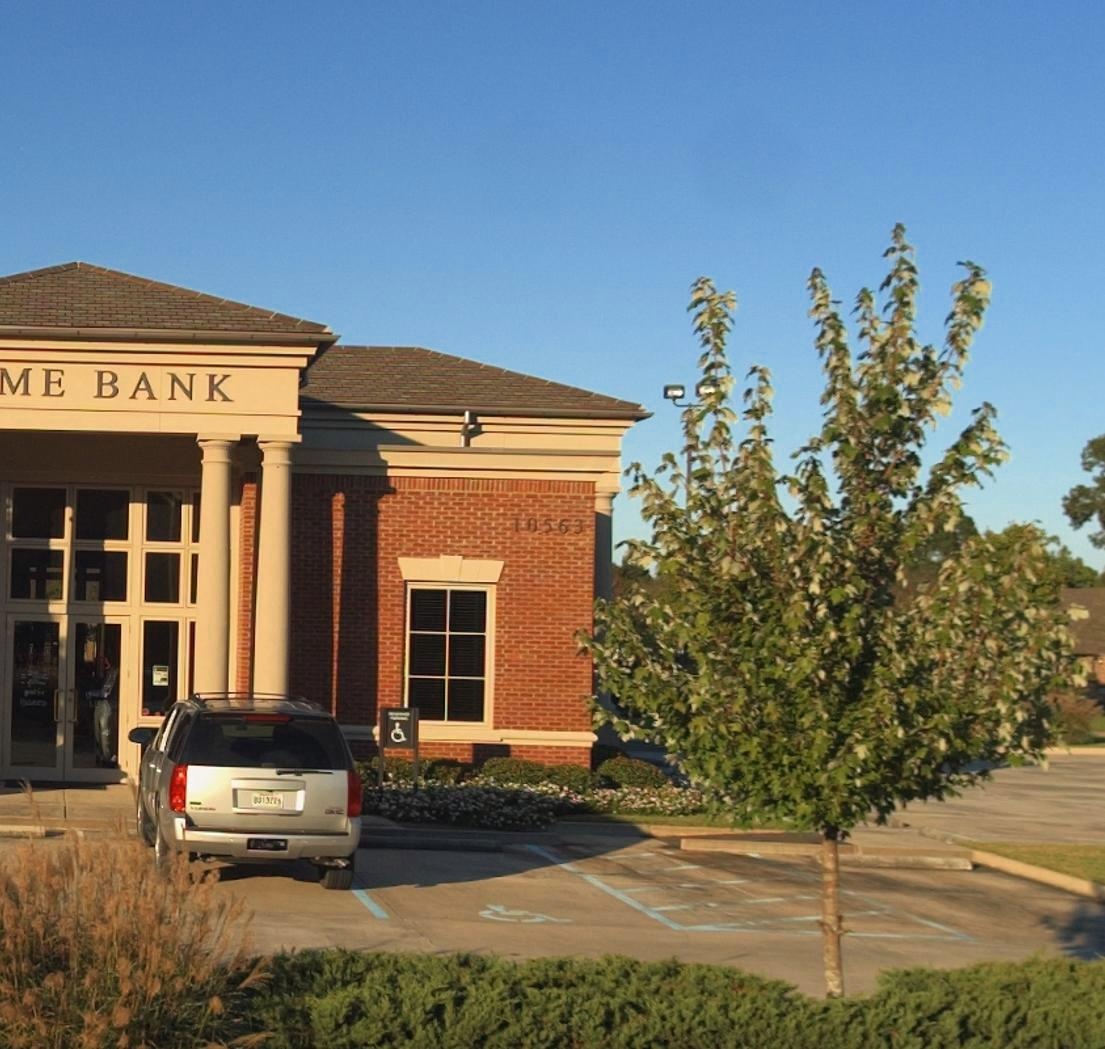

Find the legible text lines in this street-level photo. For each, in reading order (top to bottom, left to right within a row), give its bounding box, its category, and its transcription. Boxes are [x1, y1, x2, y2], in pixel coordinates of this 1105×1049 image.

[0, 367, 235, 403] BusinessName: ME BANK
[512, 516, 584, 536] StreetNumber: 10563
[252, 795, 282, 806] None: **13****
[324, 807, 346, 815] None: GMC